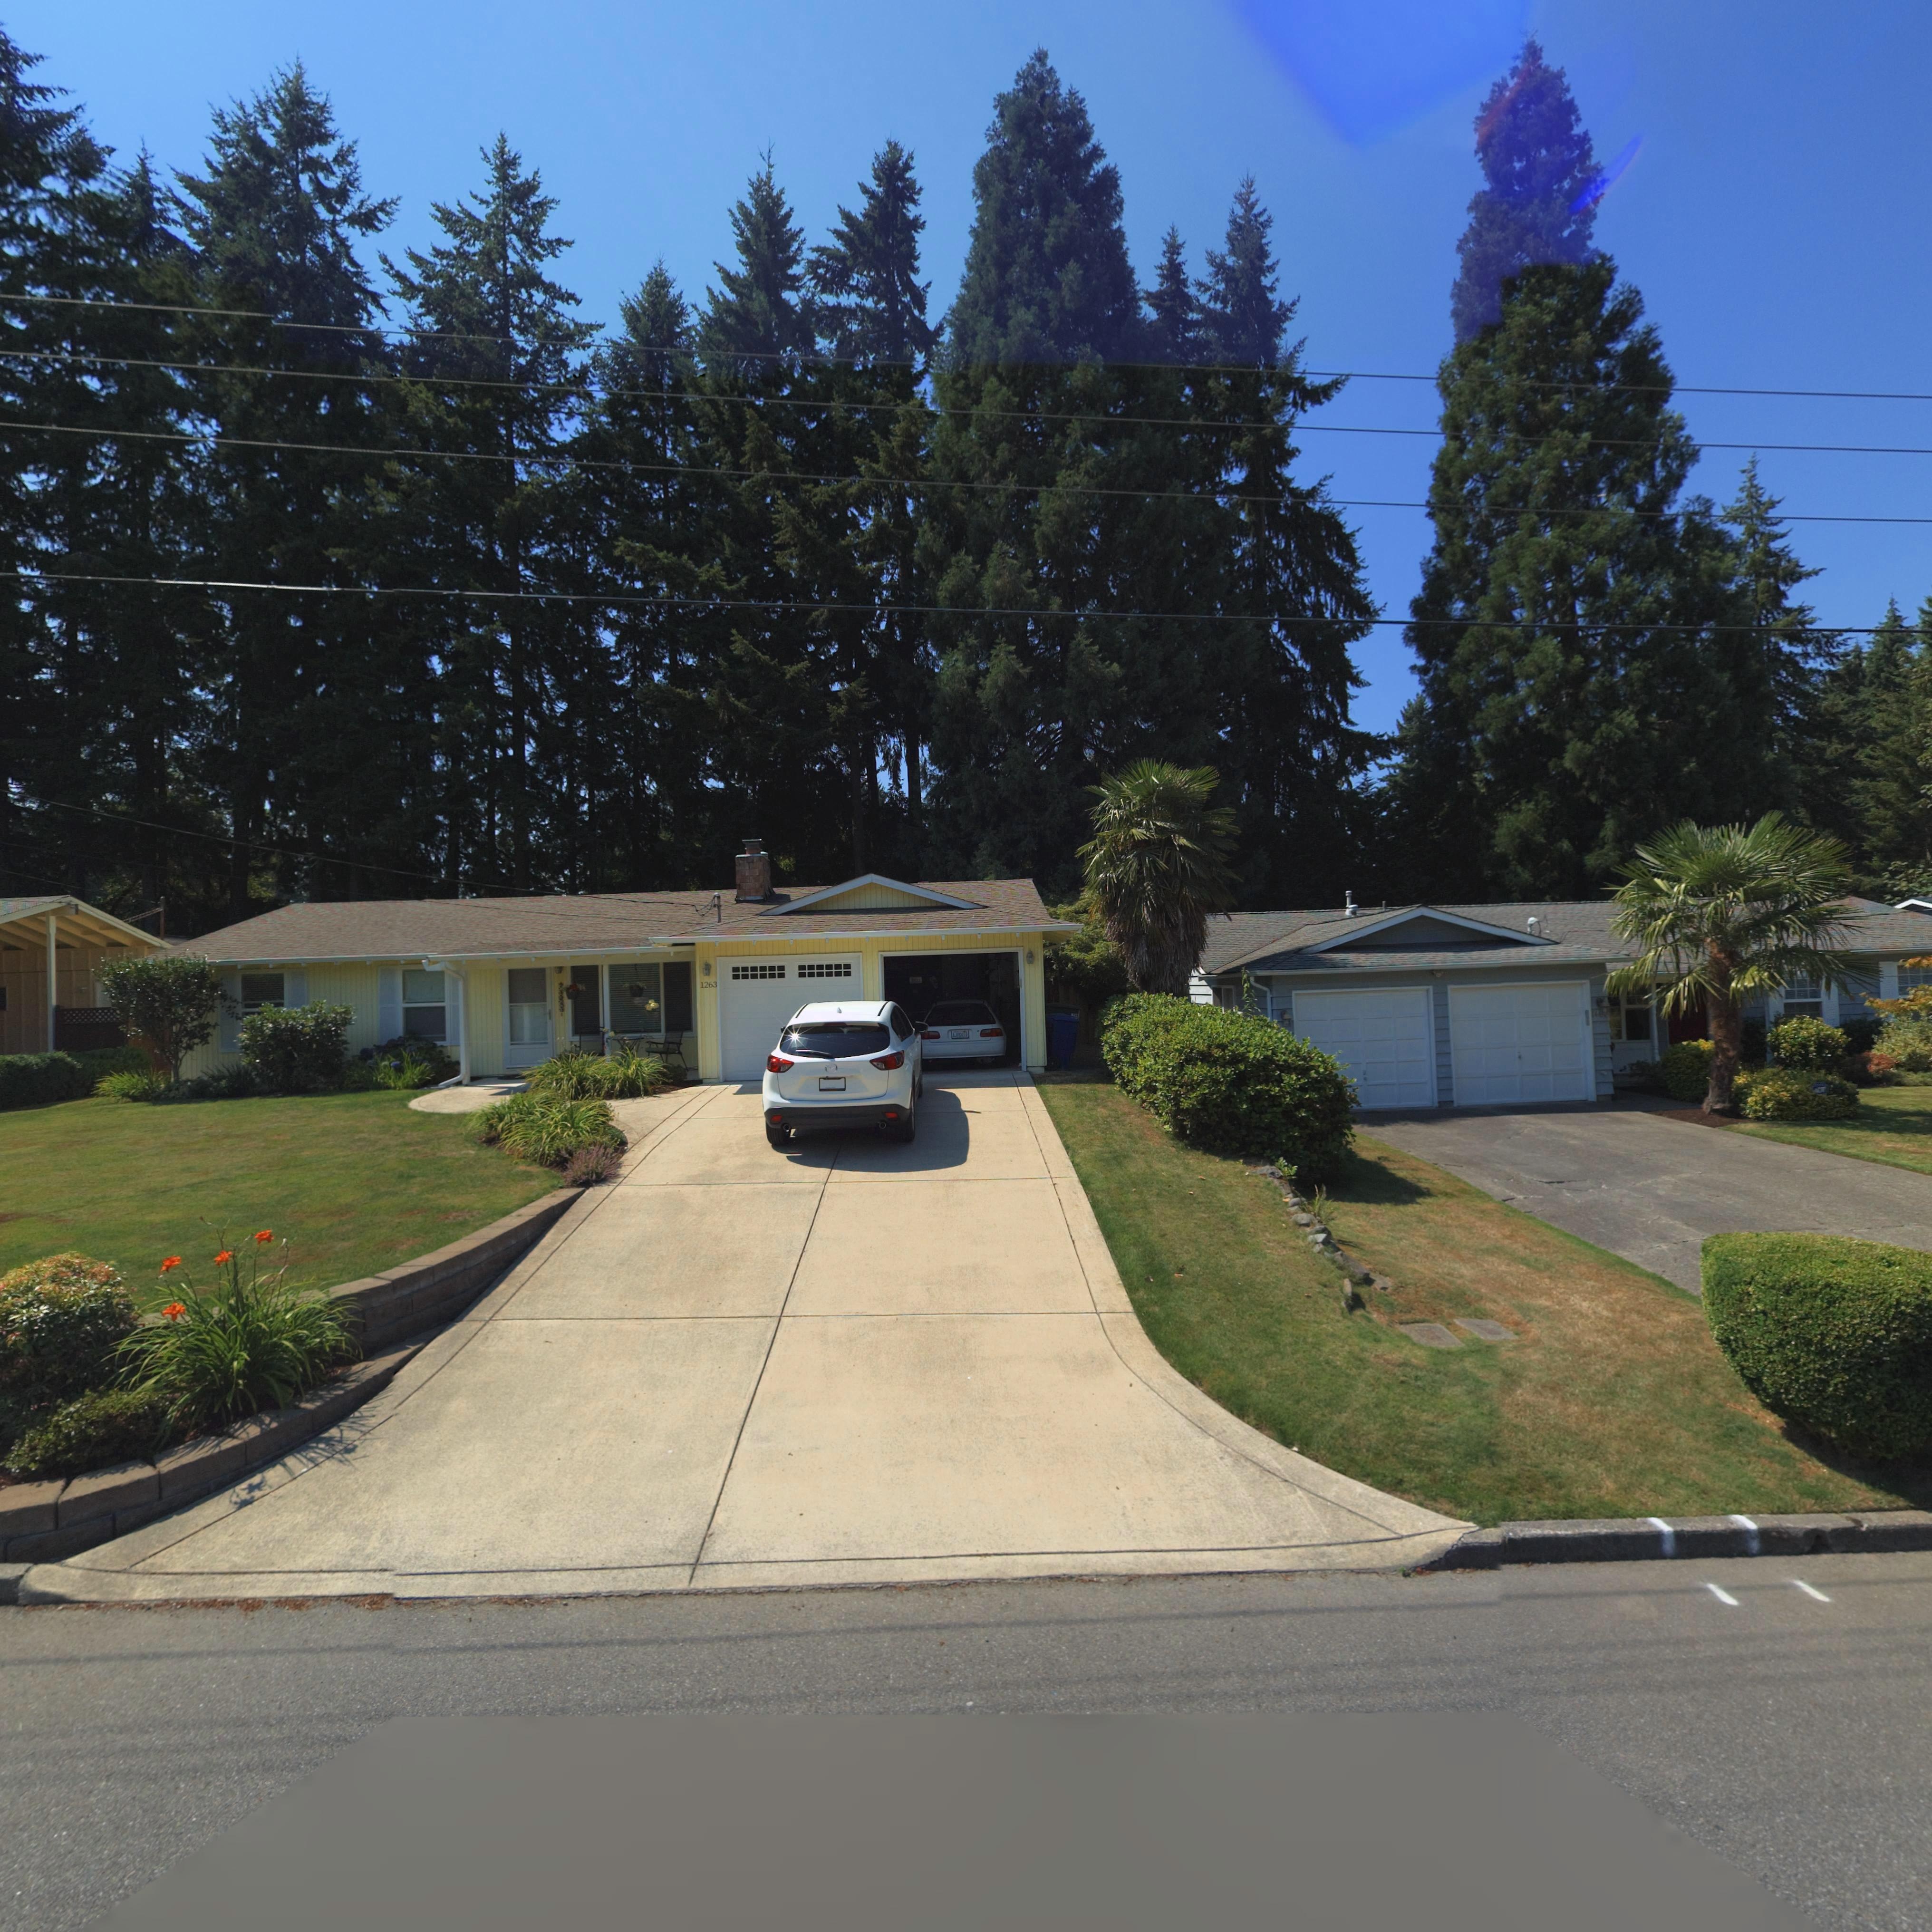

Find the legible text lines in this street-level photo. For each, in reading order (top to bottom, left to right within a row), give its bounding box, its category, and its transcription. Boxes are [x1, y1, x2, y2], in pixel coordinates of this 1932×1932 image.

[700, 981, 717, 988] StreetNumber: 1263
[1591, 1009, 1608, 1018] StreetNumber: 1***